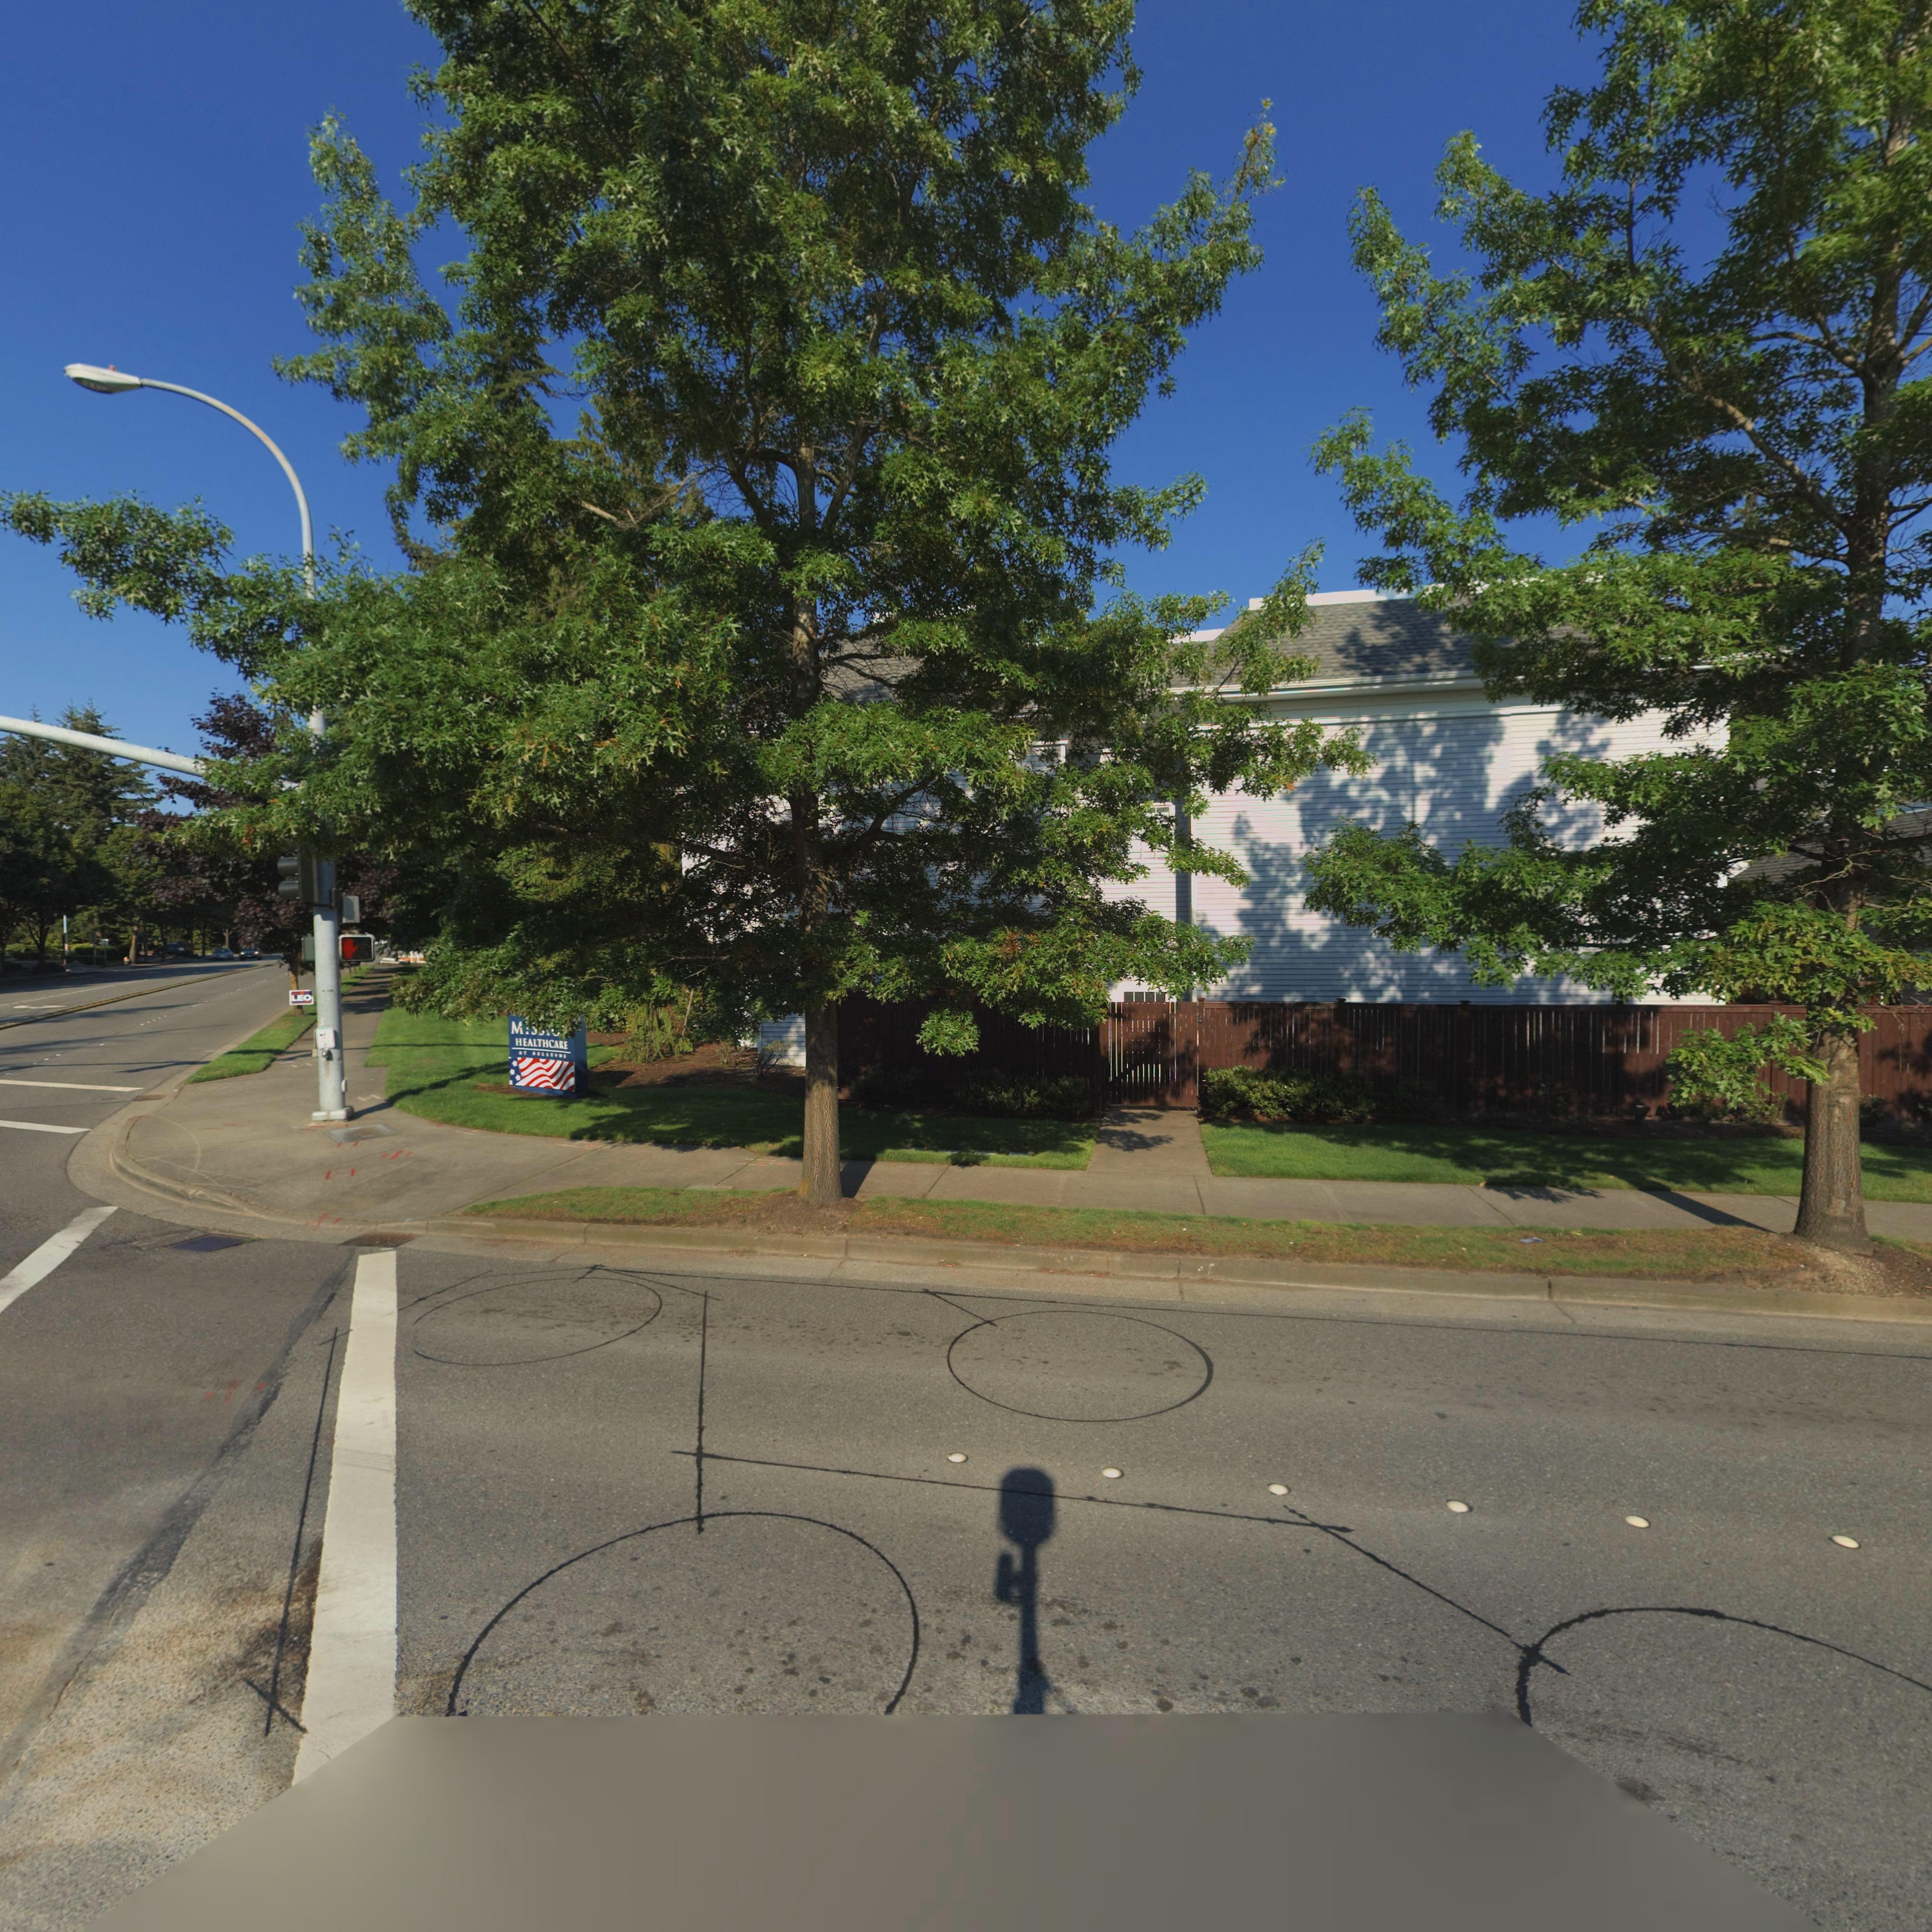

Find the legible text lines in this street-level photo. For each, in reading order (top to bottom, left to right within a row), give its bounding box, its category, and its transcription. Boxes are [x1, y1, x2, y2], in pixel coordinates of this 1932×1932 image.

[510, 1021, 522, 1034] BusinessName: M
[515, 1038, 569, 1049] BusinessName: HEALTHECARE